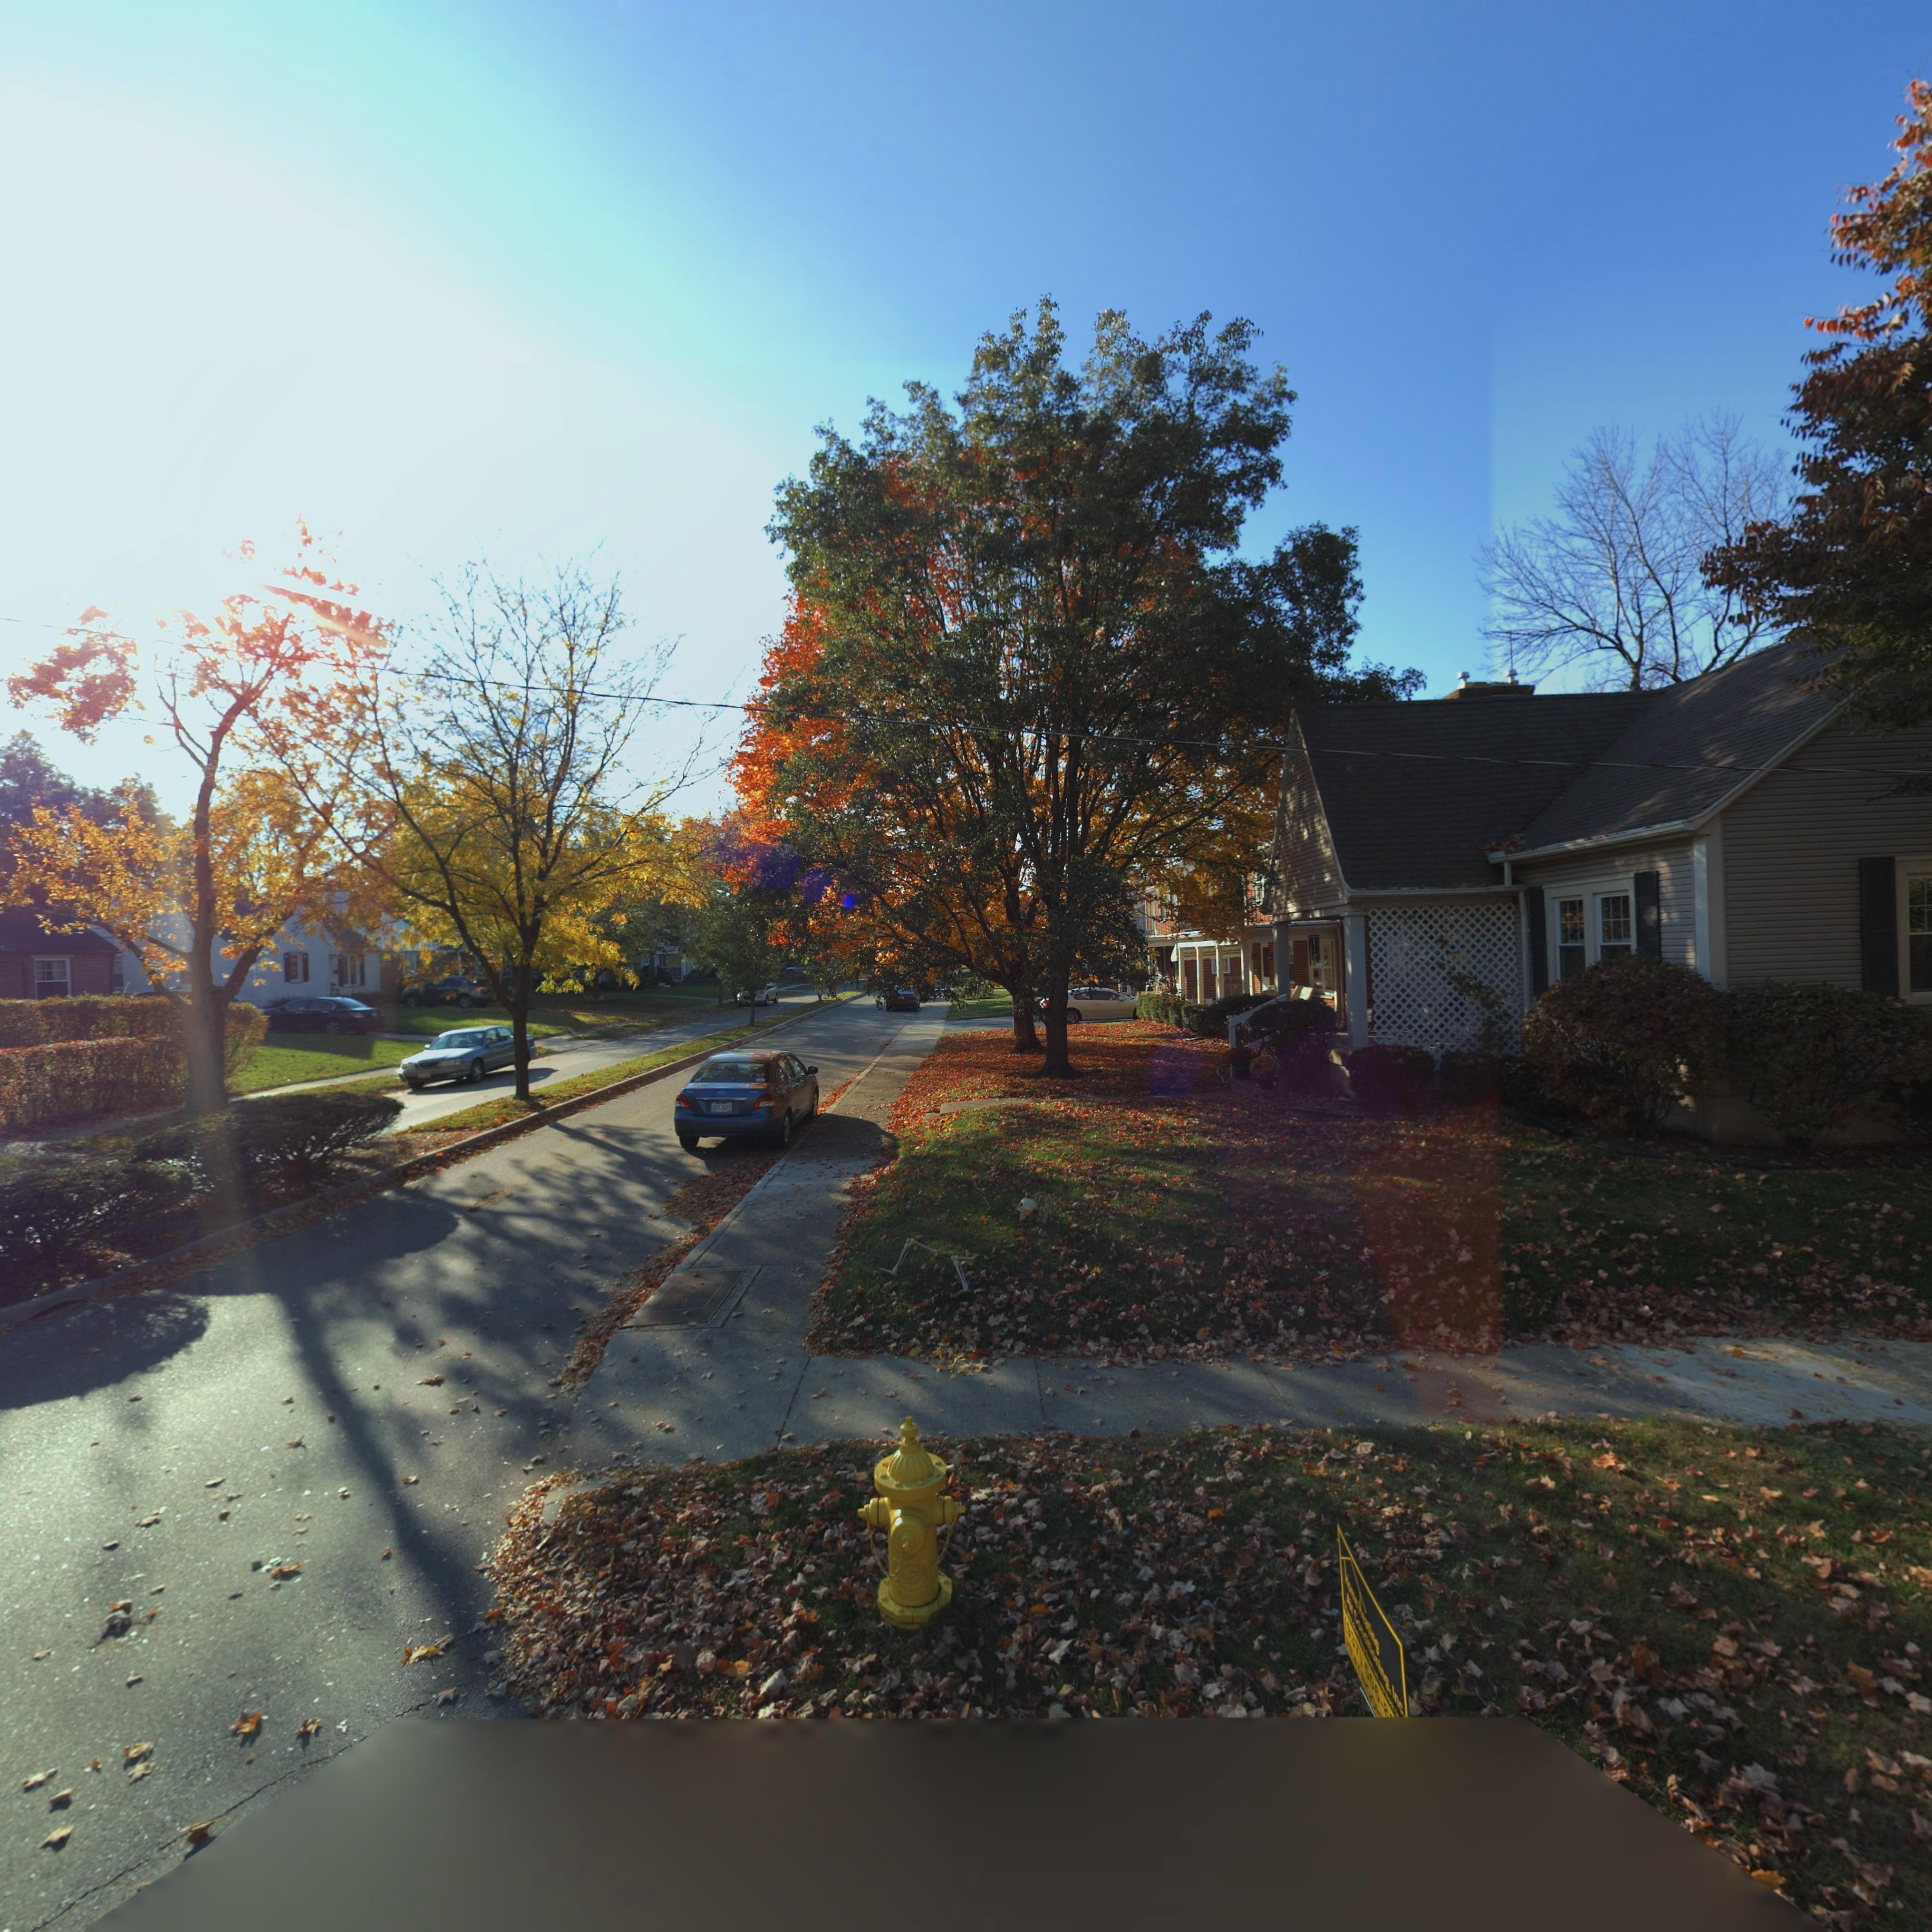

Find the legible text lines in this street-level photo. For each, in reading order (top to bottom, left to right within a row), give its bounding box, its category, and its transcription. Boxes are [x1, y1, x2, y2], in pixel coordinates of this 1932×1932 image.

[1300, 909, 1311, 919] StreetNumber: 359